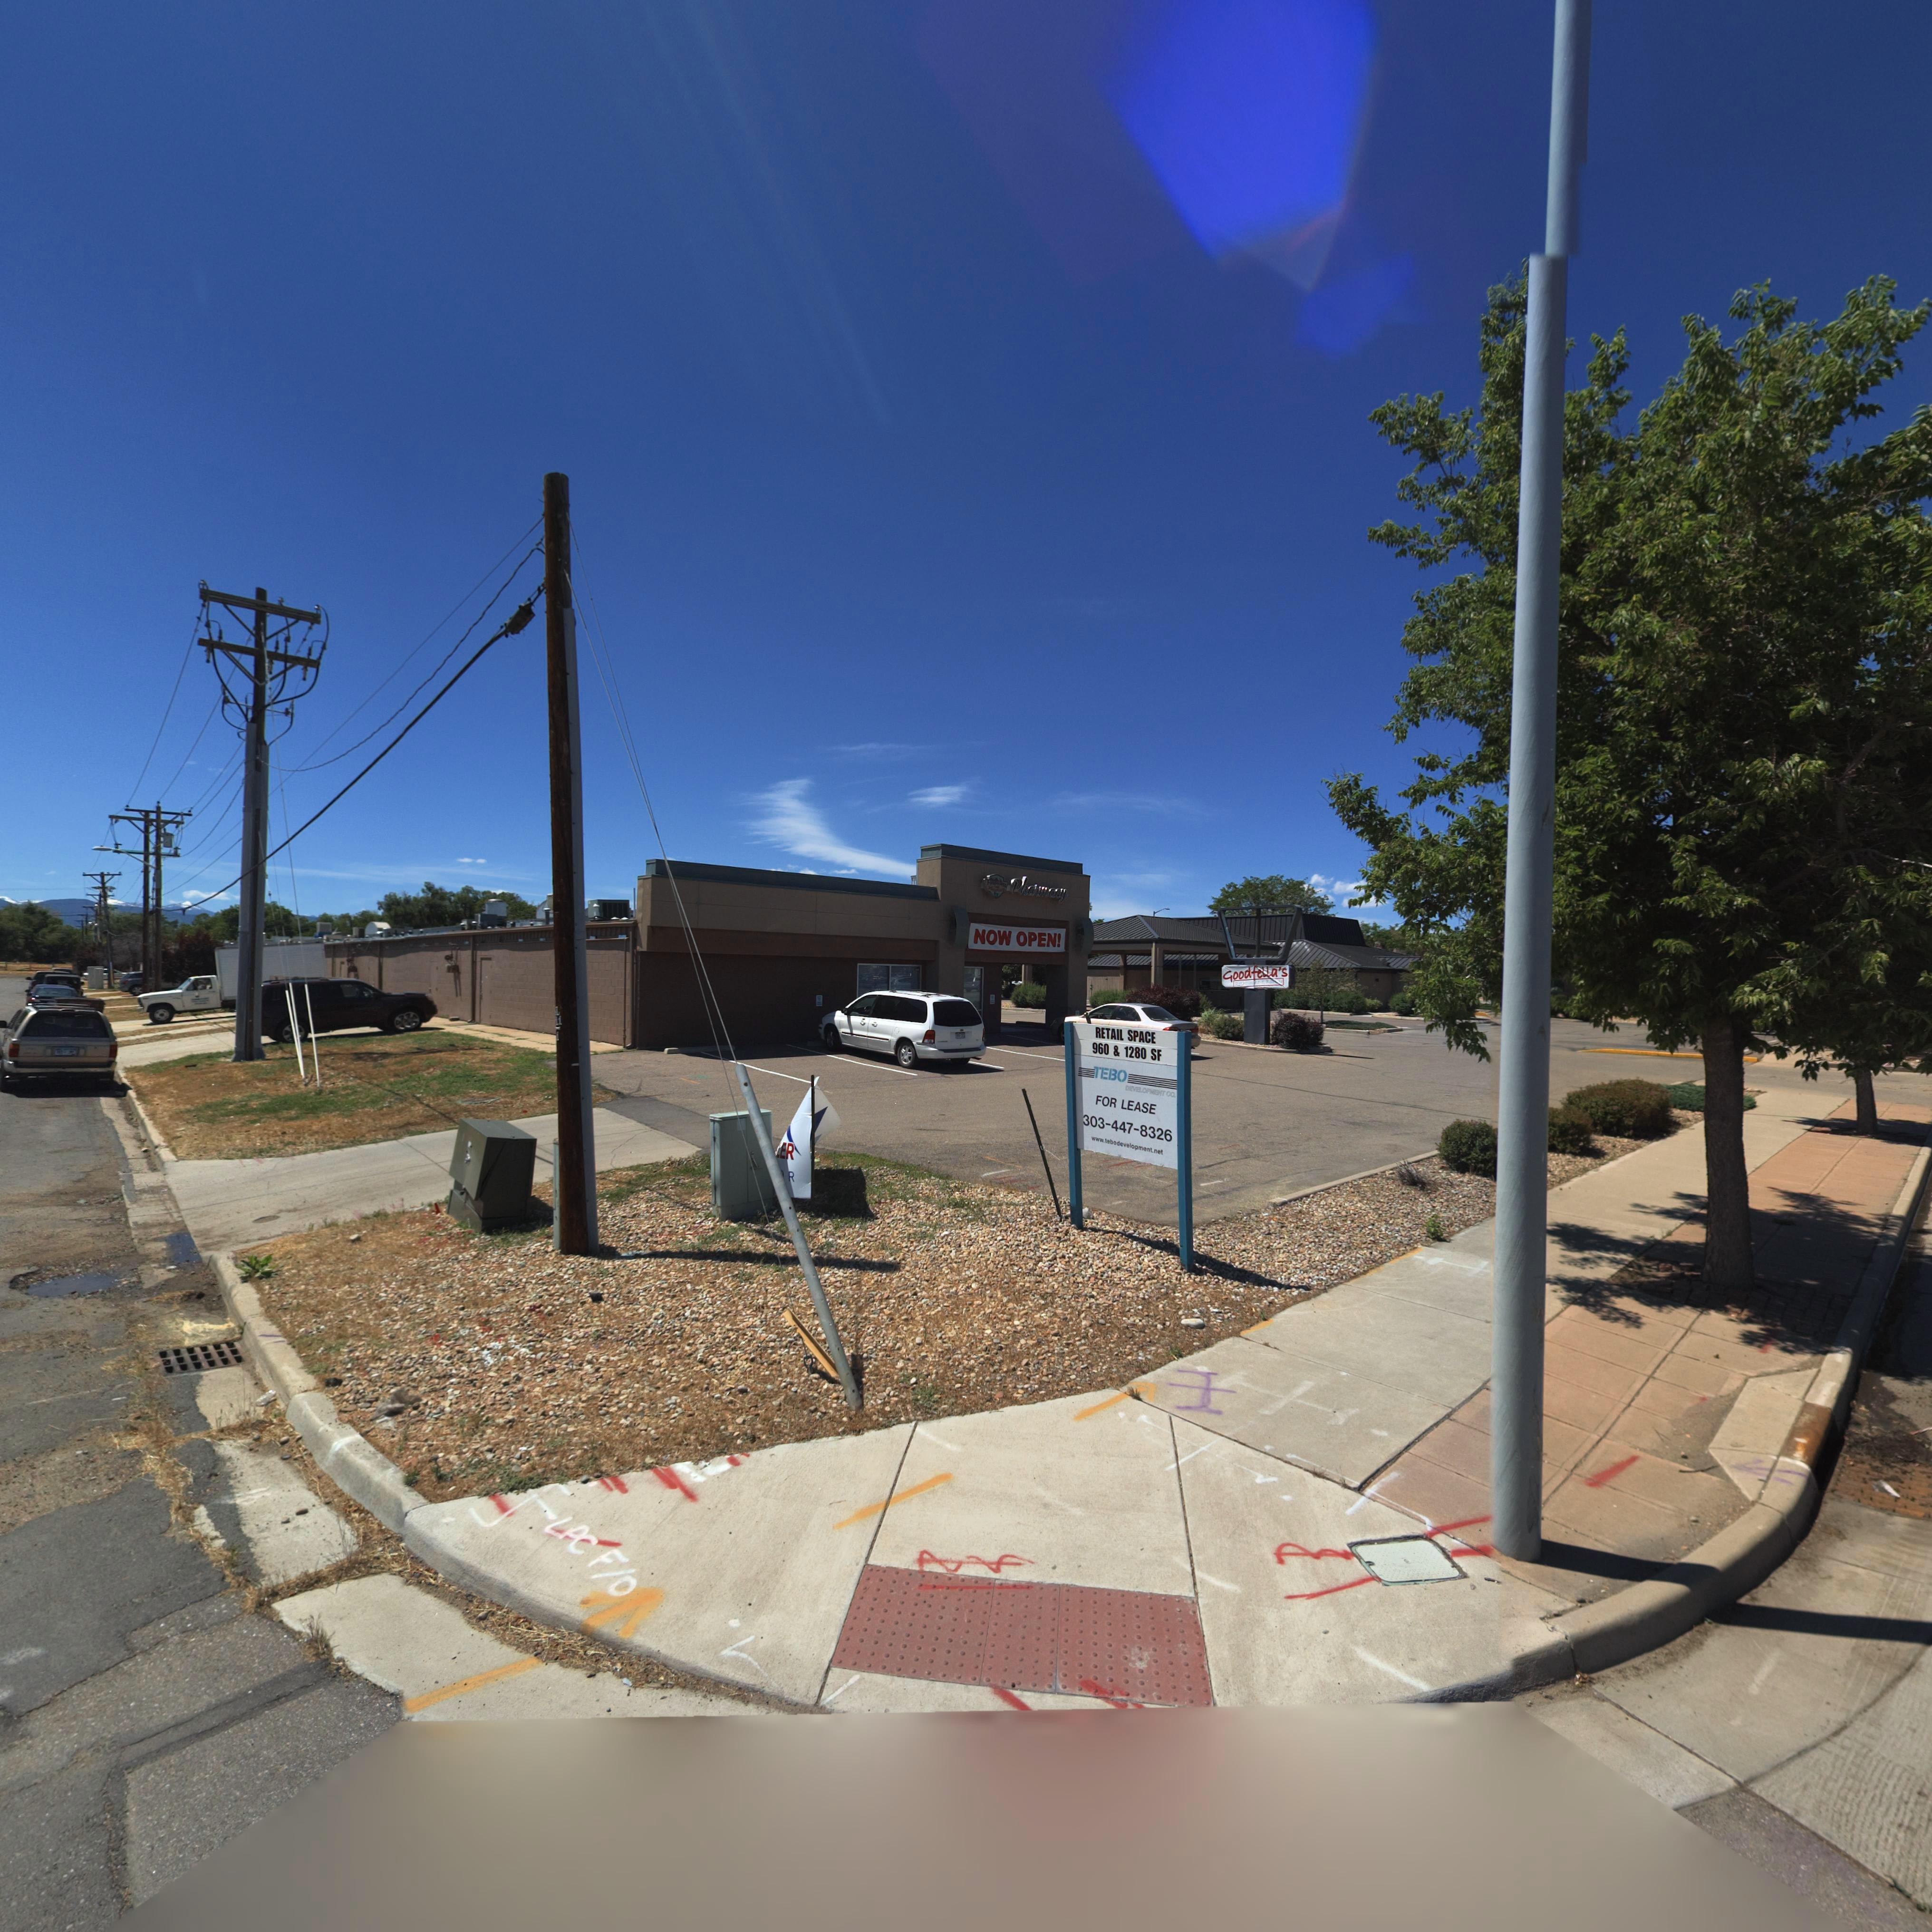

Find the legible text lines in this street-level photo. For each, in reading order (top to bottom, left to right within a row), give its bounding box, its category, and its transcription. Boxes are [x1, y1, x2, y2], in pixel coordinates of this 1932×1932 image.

[986, 879, 1006, 888] BusinessName: F*********
[1009, 875, 1070, 904] BusinessName: Pharmacy
[1222, 965, 1288, 983] BusinessName: Goodfella's
[1234, 979, 1283, 986] BusinessName: R*S******* * B****